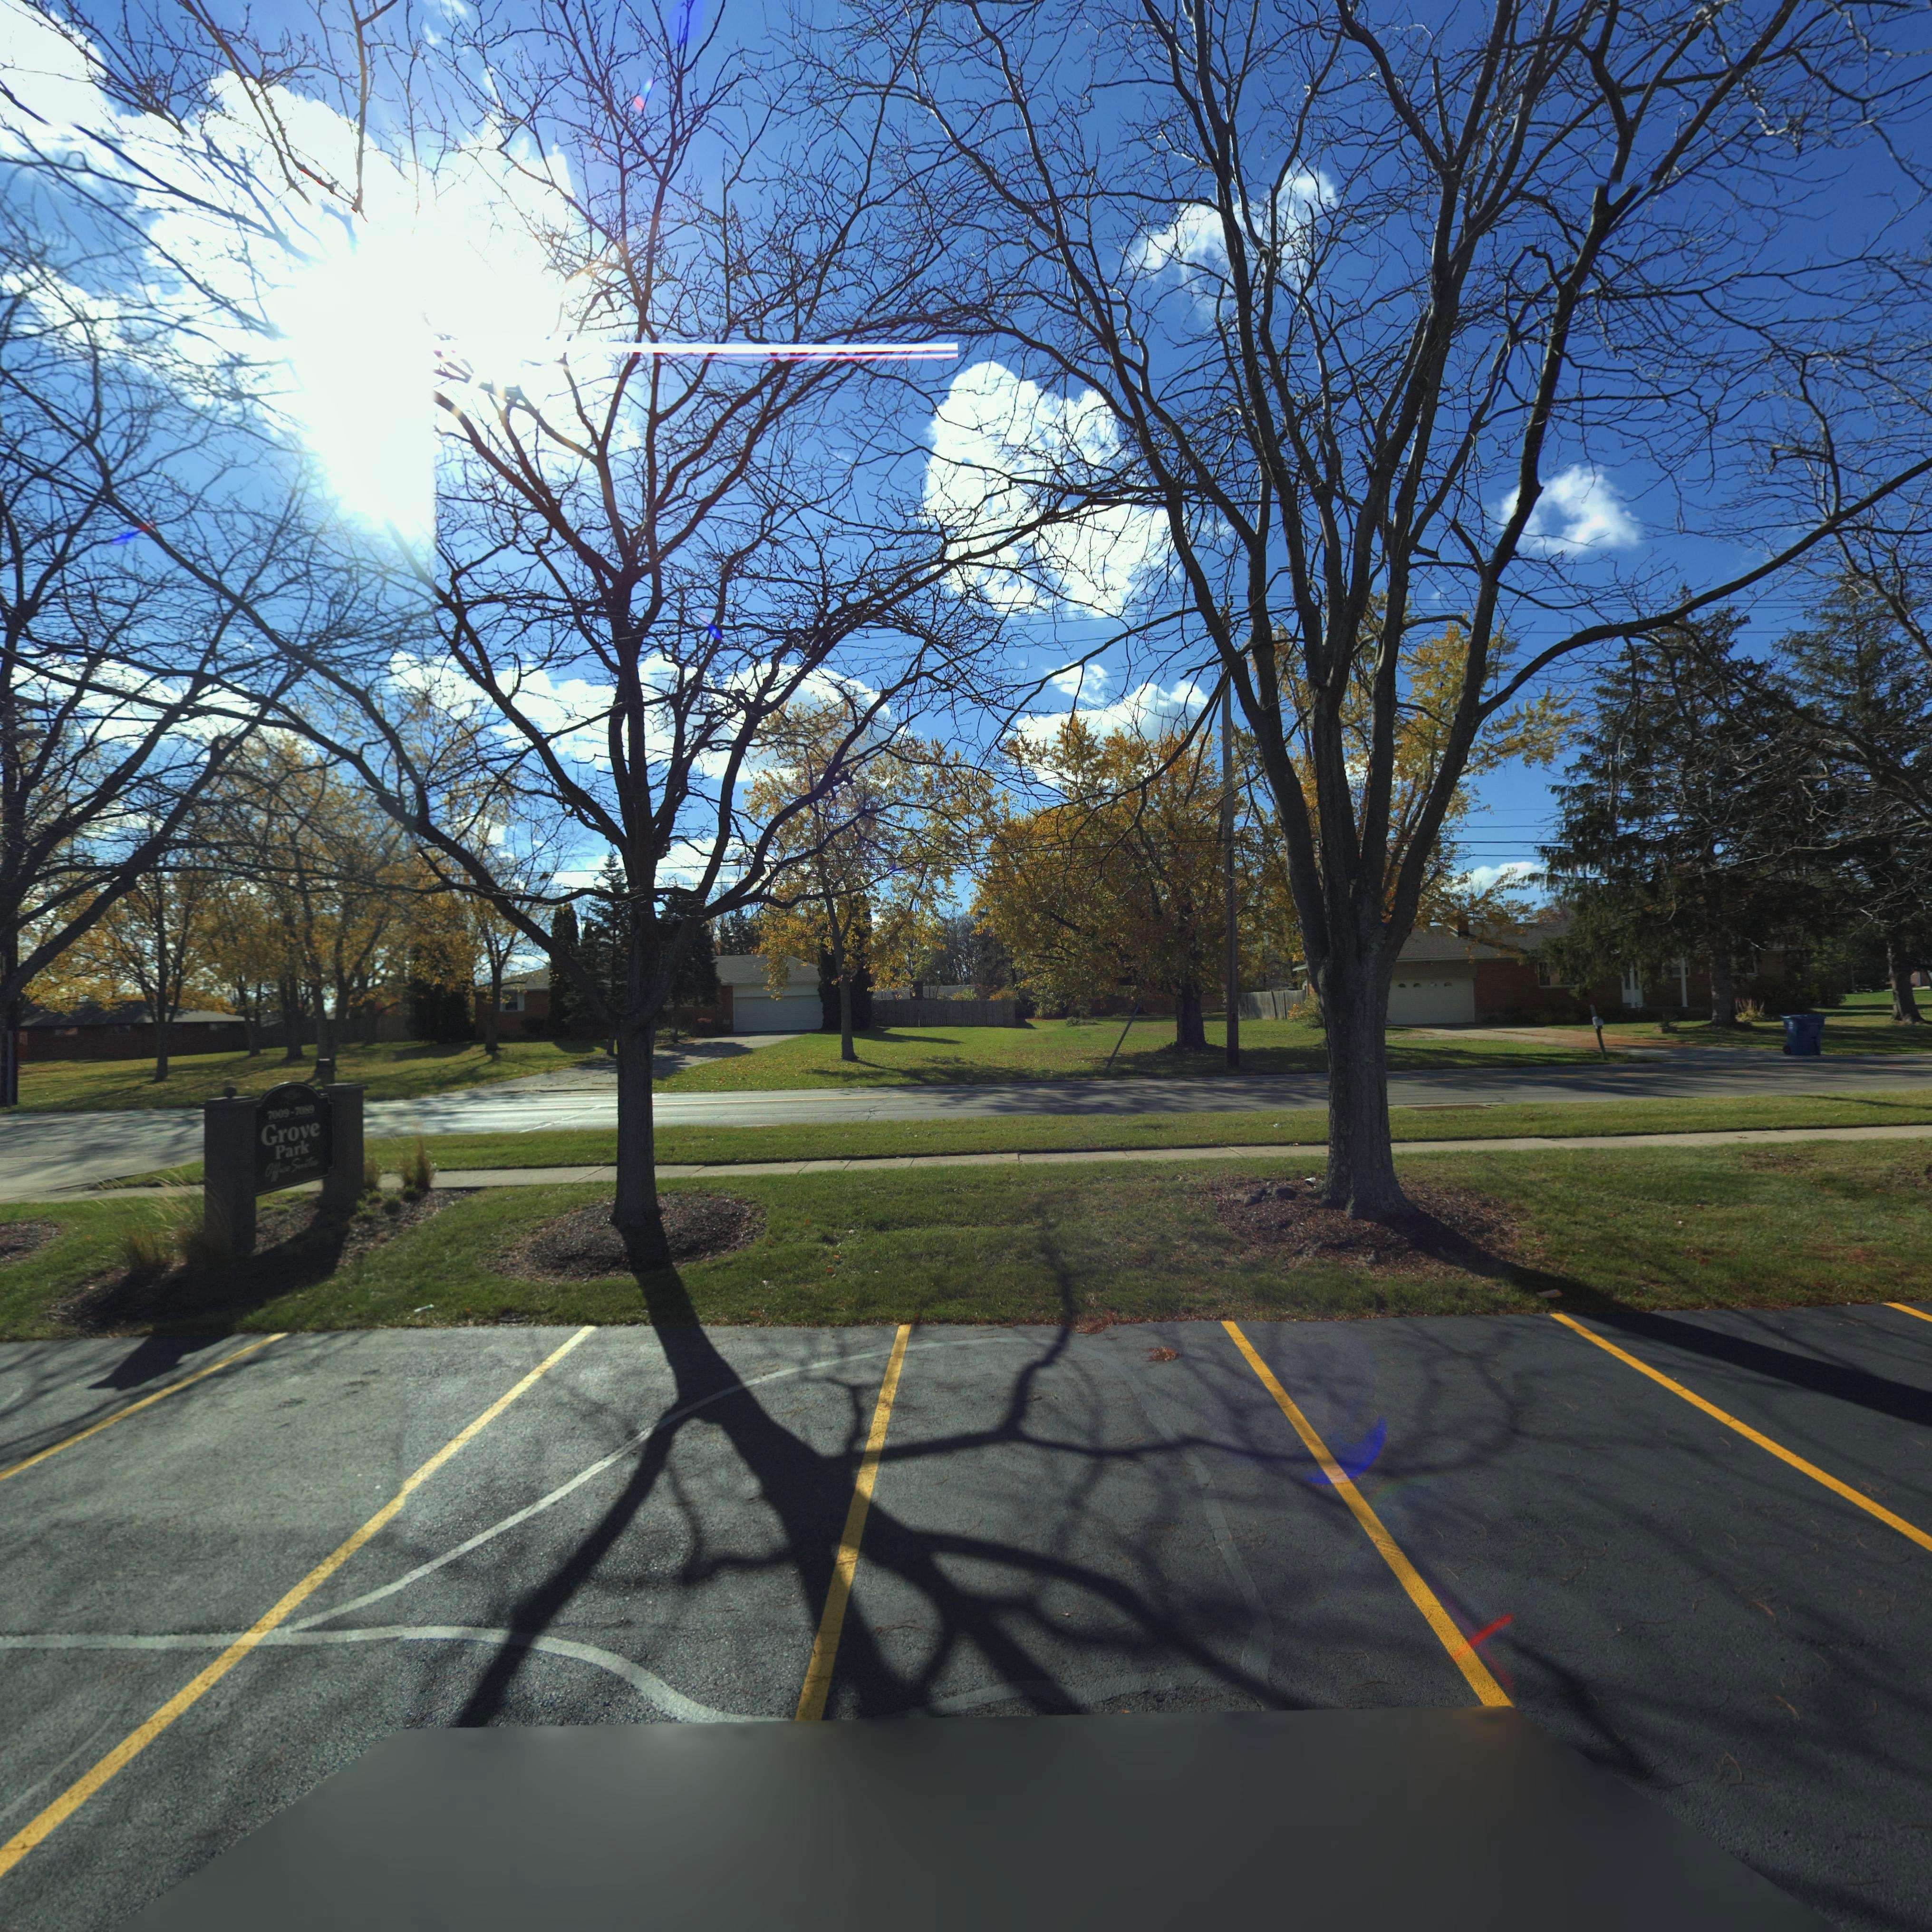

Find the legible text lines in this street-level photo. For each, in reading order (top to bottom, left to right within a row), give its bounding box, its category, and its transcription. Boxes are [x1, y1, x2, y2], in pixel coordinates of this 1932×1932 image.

[266, 1107, 290, 1122] StreetNumber: 7009
[292, 1103, 316, 1118] StreetNumber: 7089